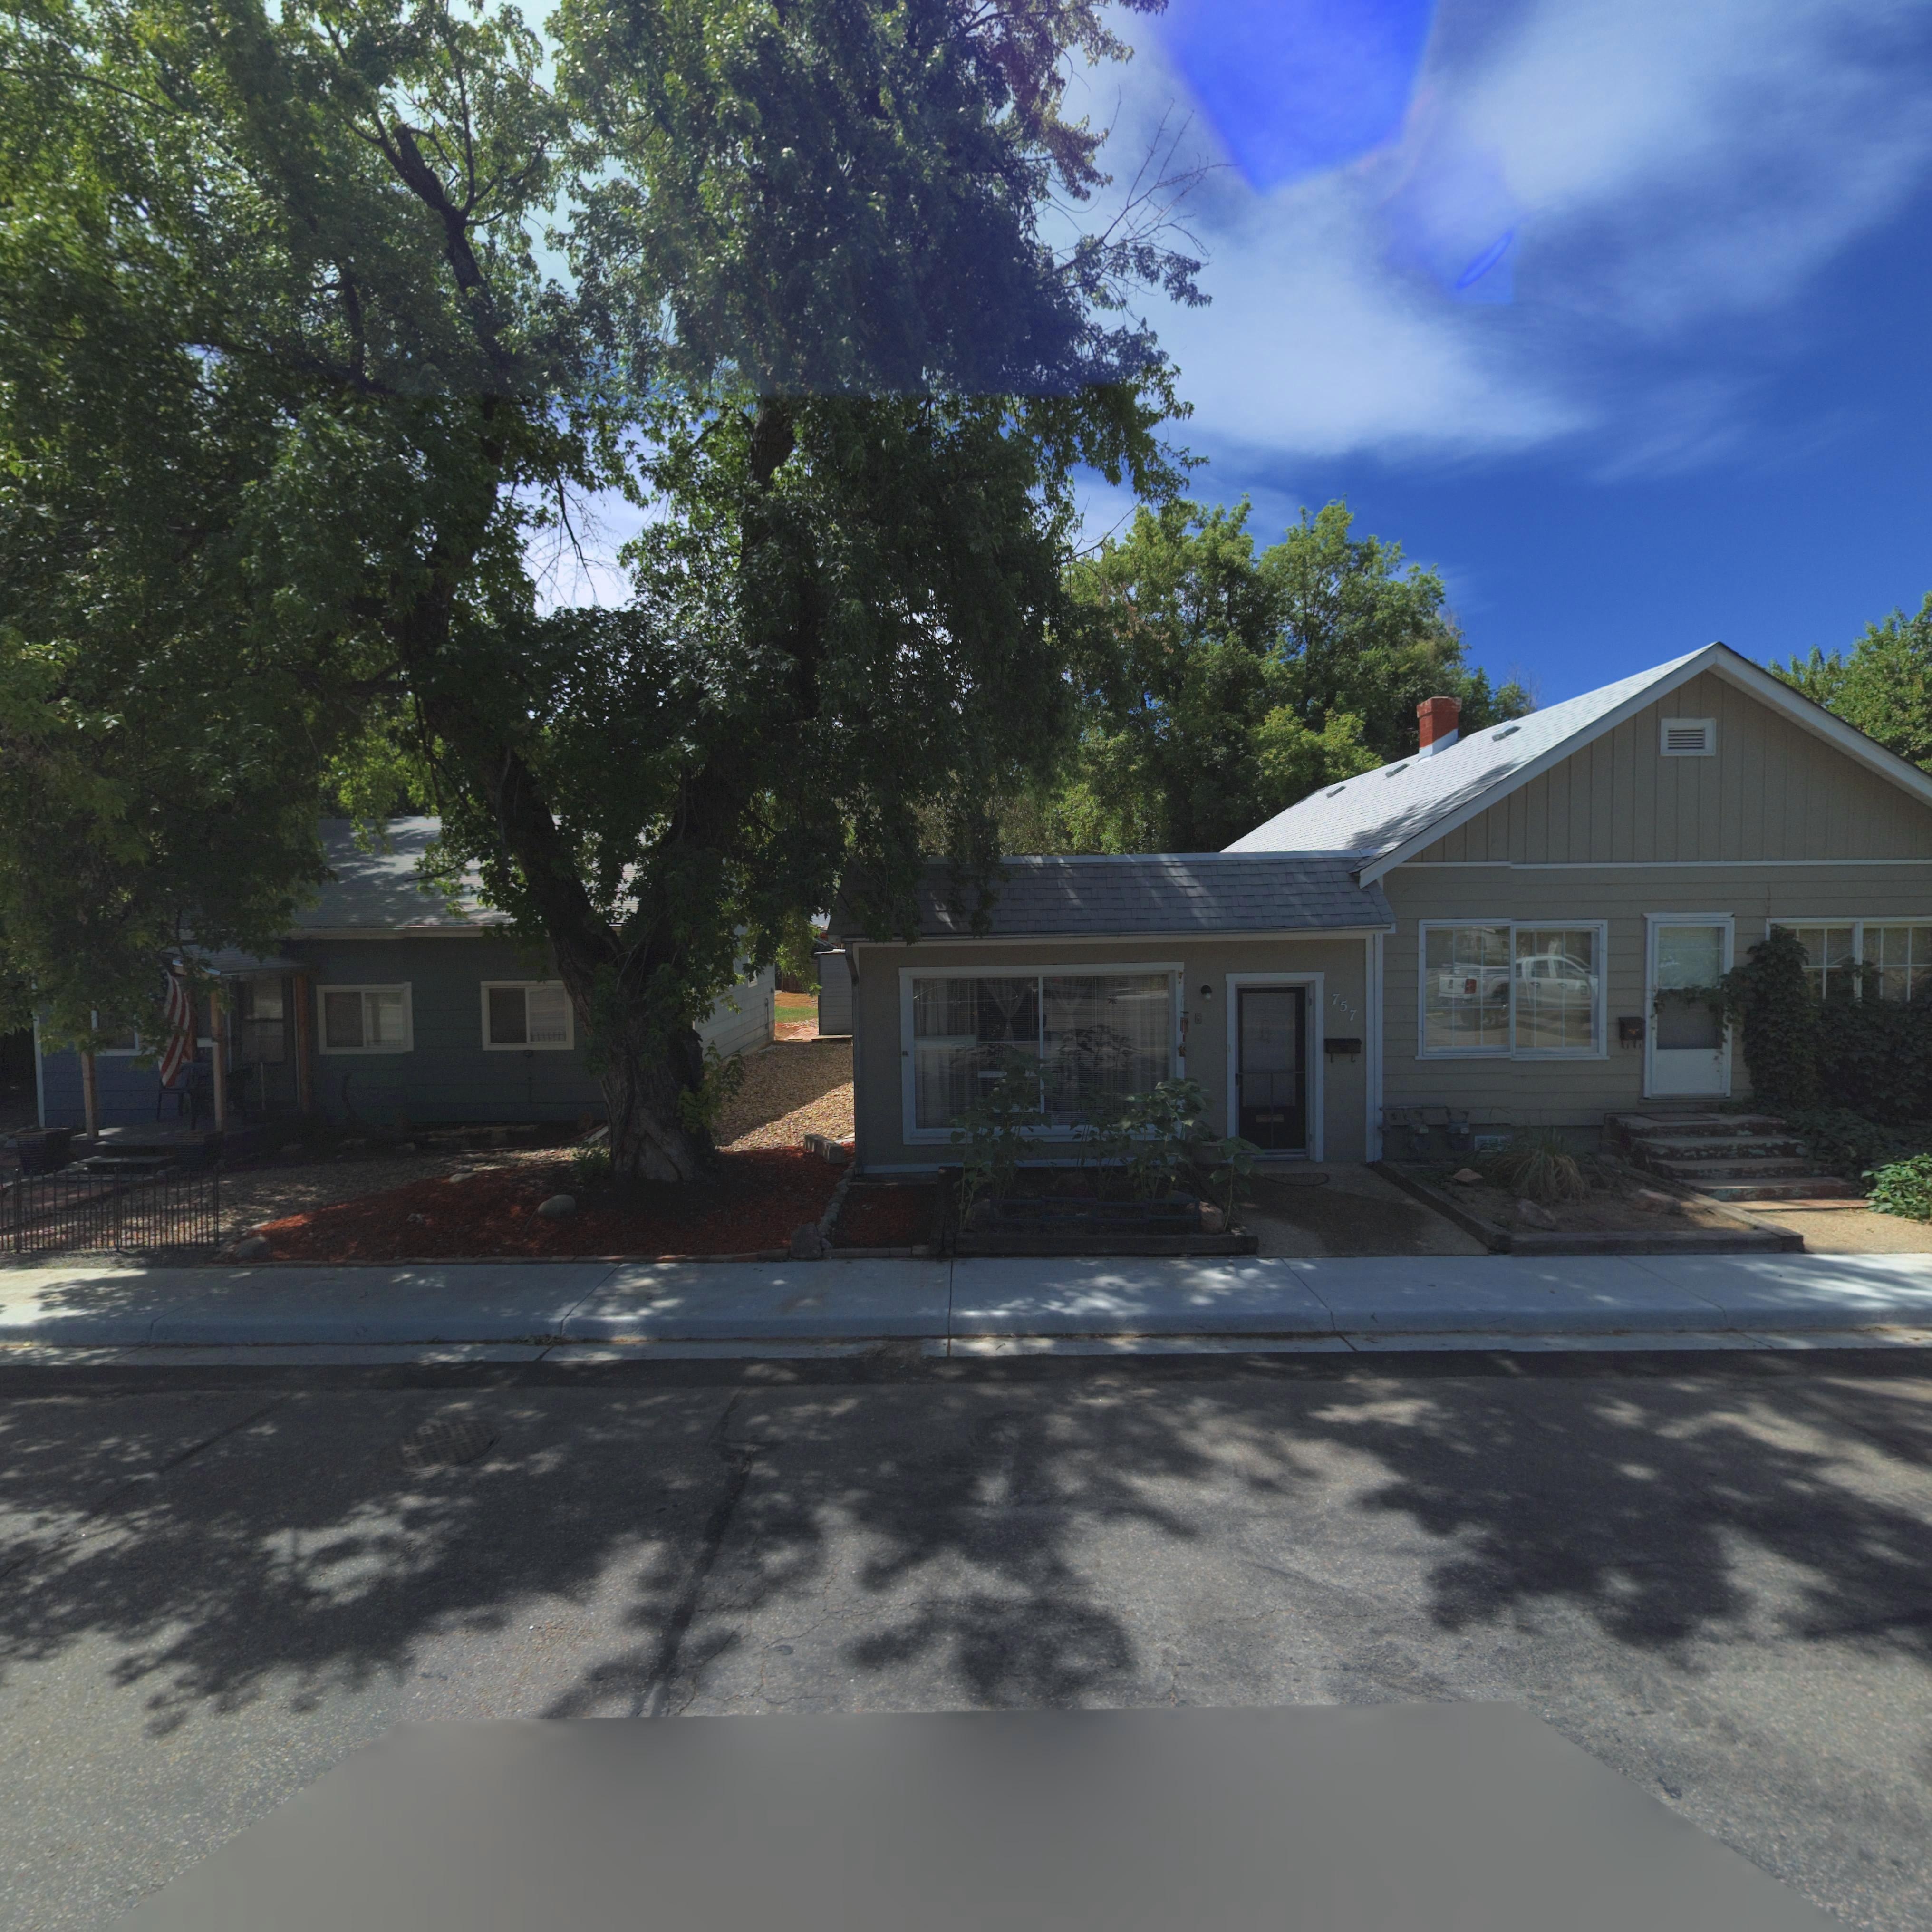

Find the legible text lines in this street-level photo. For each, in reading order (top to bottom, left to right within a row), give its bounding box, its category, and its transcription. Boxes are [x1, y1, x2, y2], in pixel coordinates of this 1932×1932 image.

[1332, 993, 1357, 1023] StreetNumber: 757